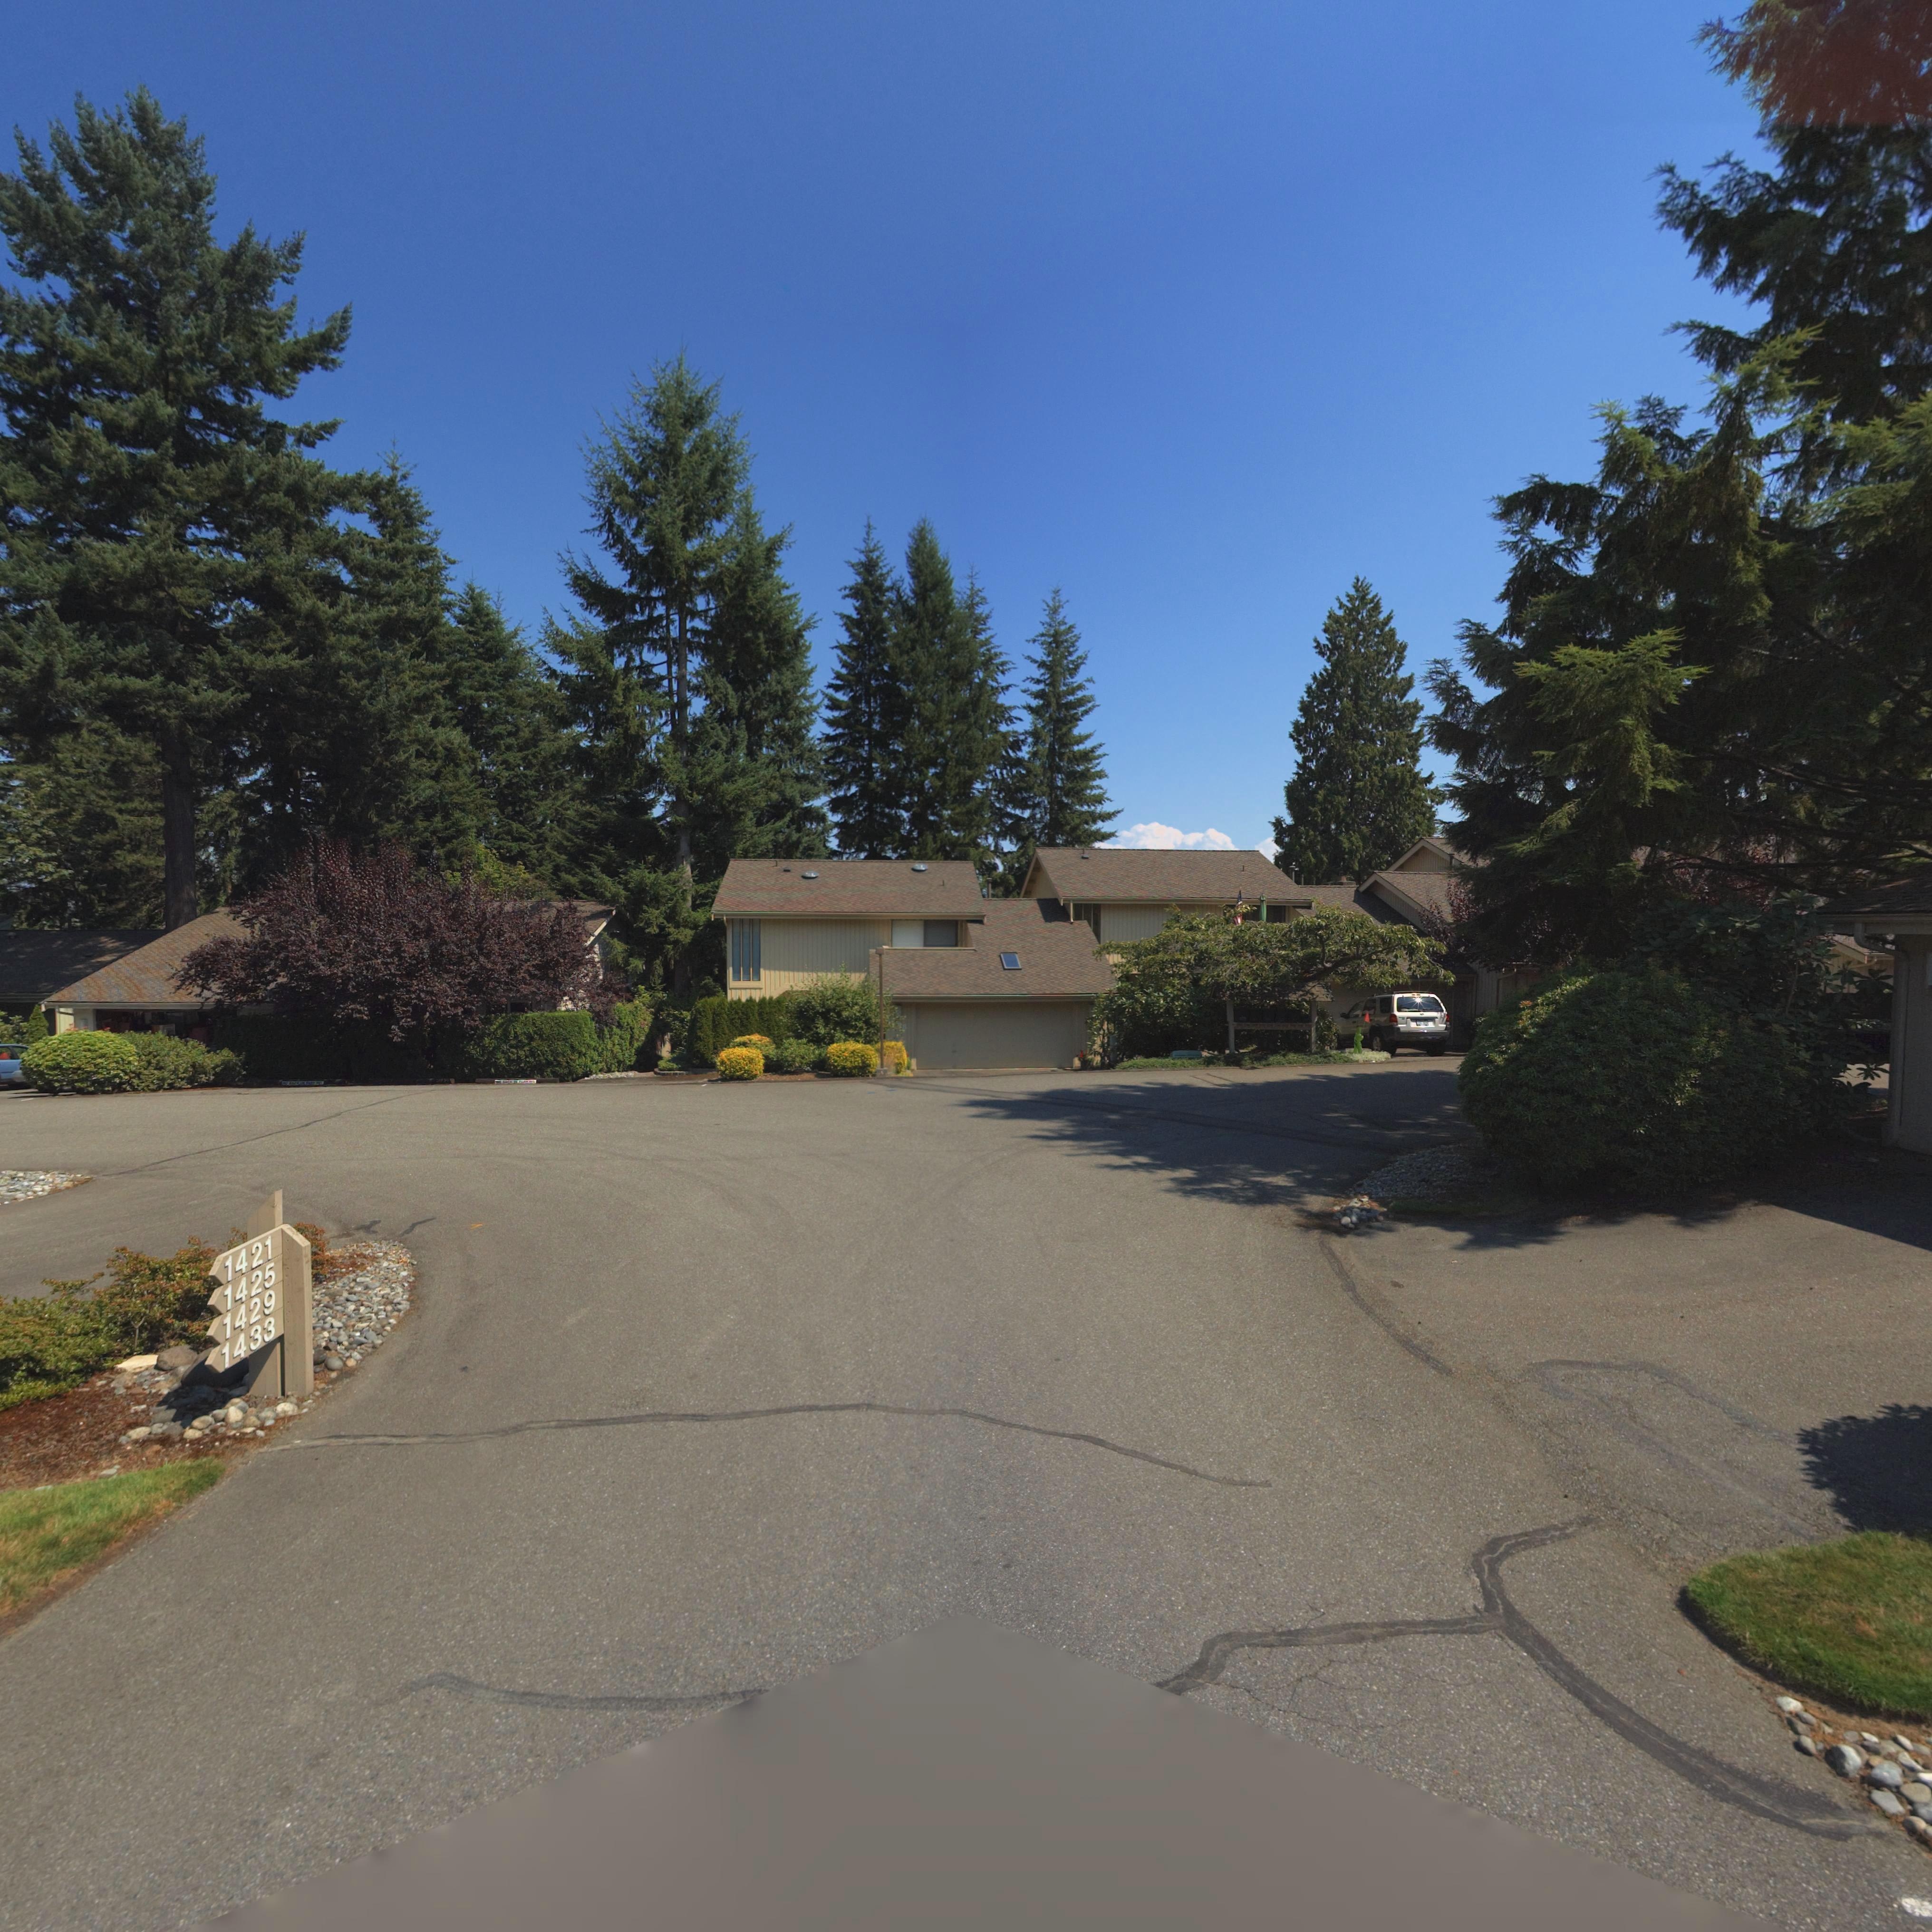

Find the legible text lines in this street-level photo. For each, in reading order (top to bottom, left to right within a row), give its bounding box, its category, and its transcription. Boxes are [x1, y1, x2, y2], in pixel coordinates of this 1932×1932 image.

[225, 1234, 273, 1285] StreetNumber: 1421
[218, 1262, 282, 1309] StreetNumber: 1425
[222, 1285, 276, 1343] StreetNumber: 1429
[215, 1316, 282, 1367] StreetNumber: 1433